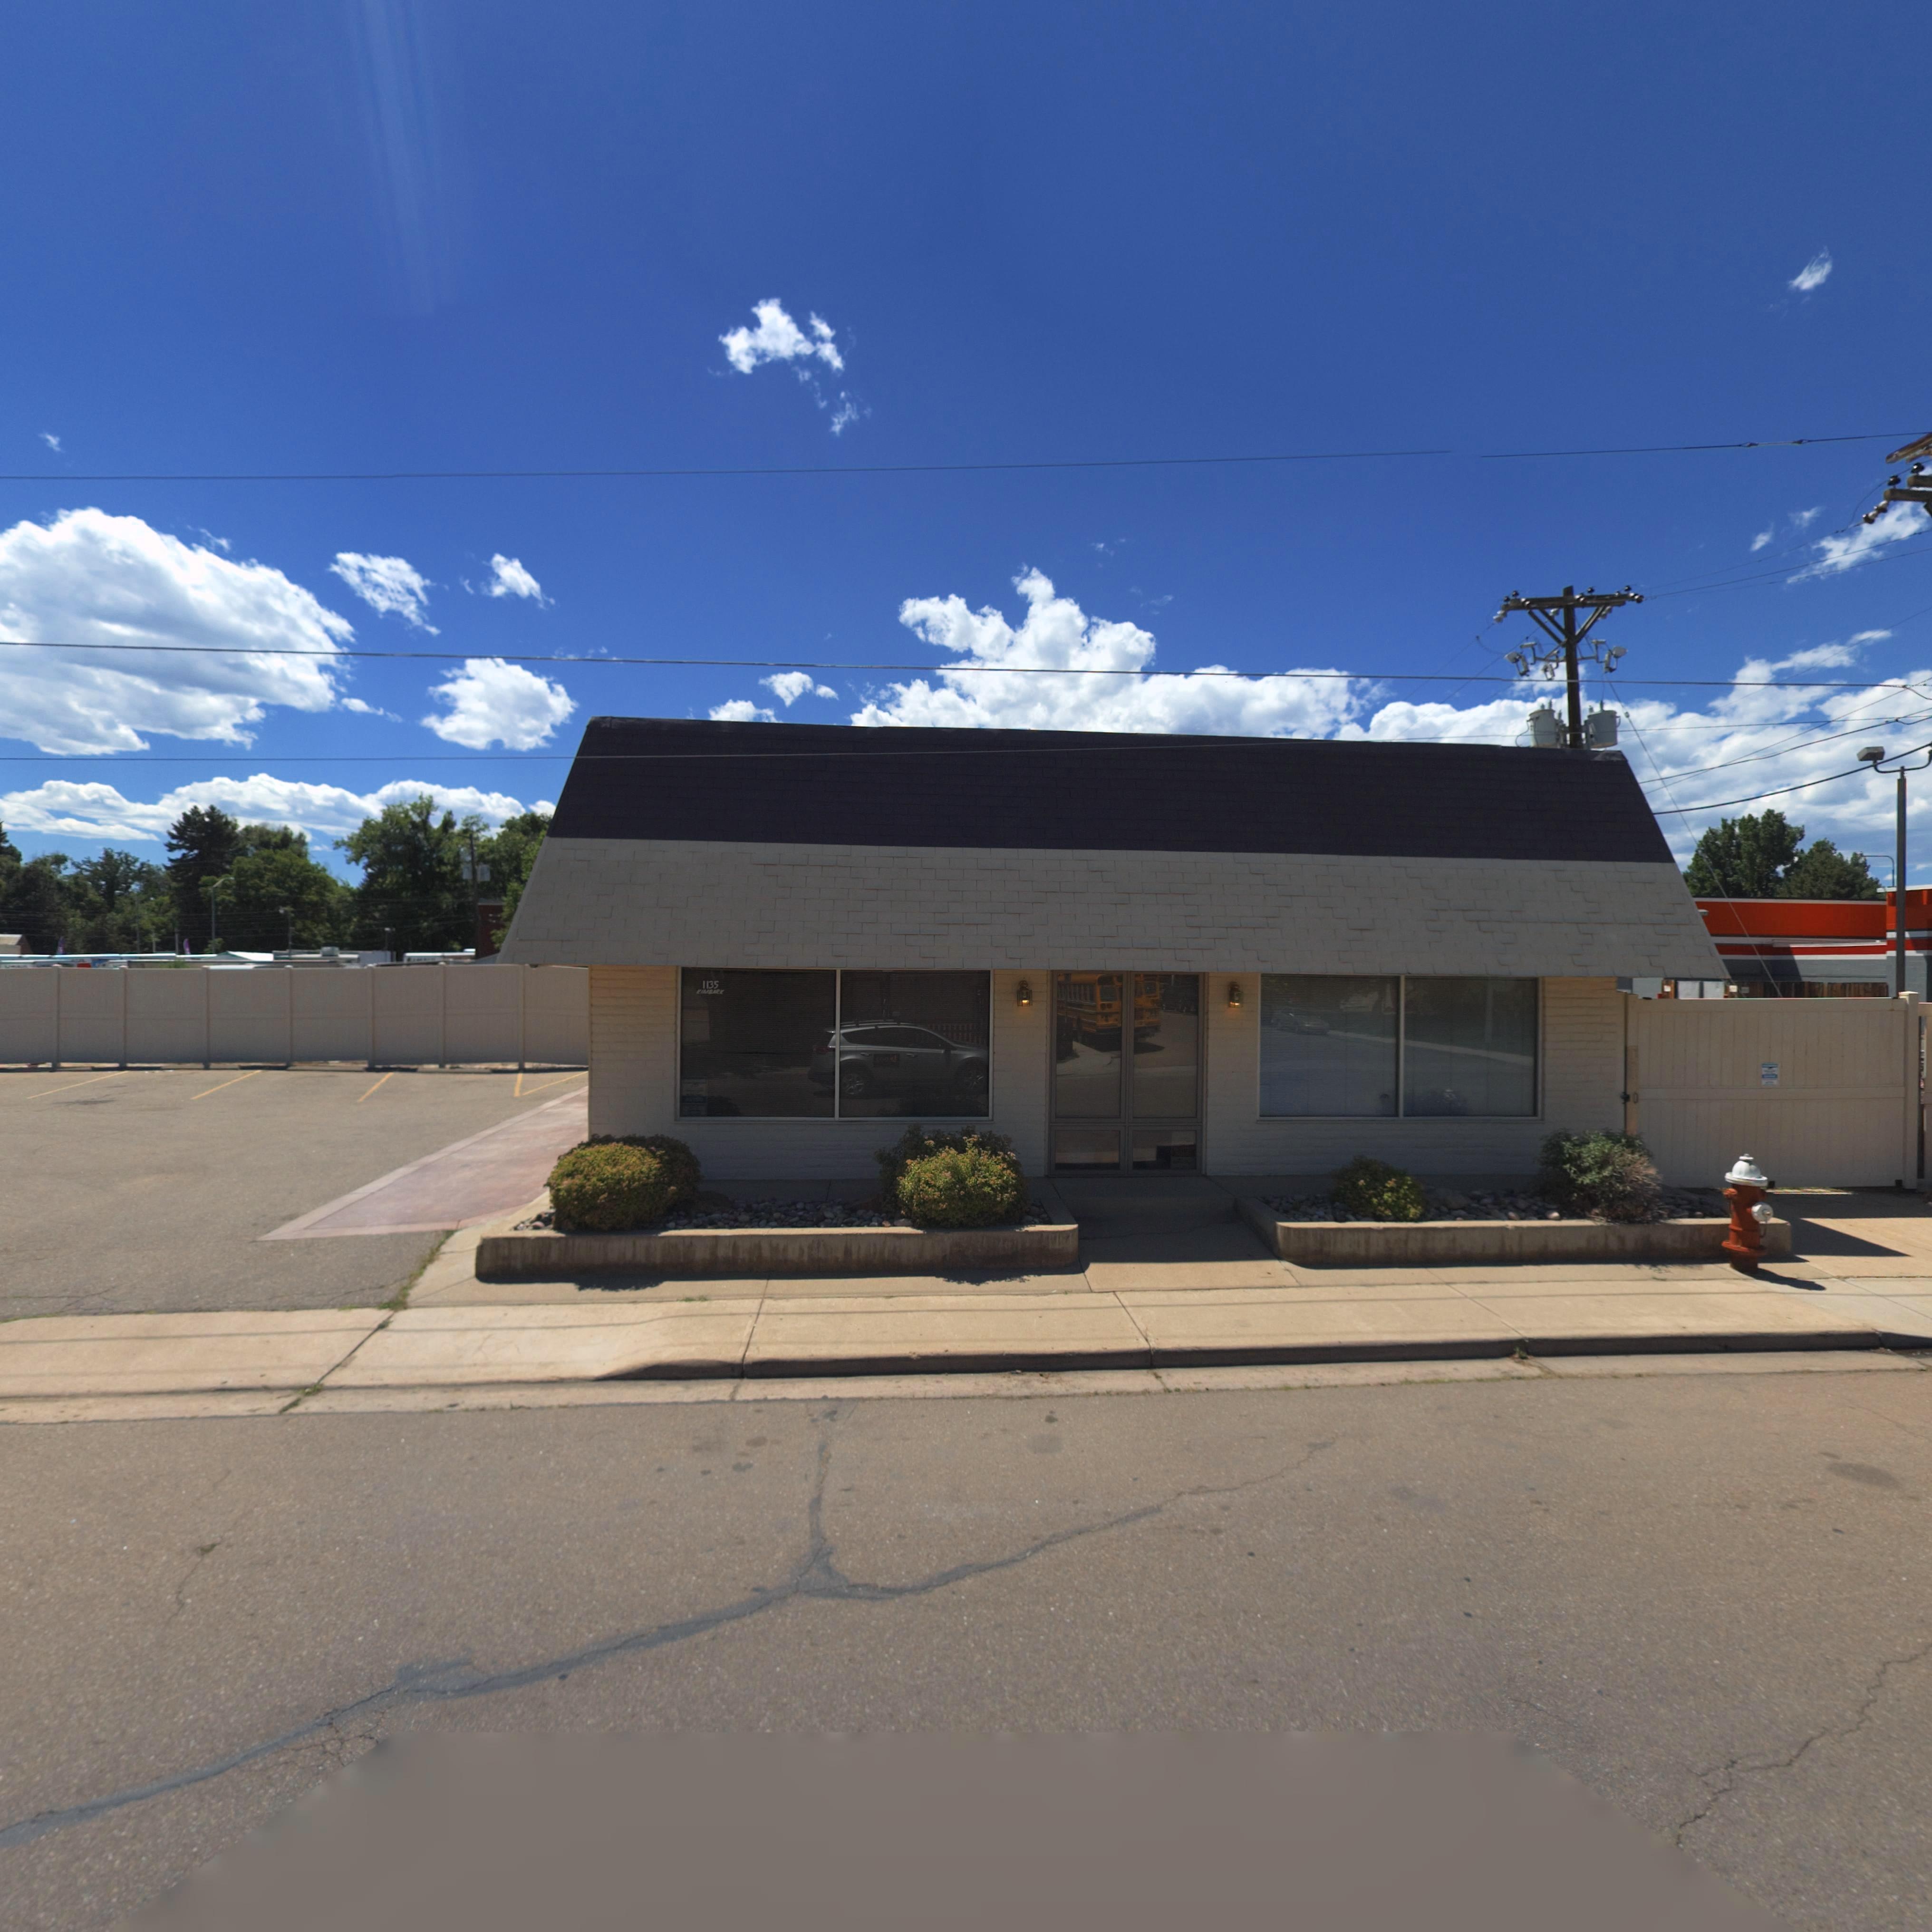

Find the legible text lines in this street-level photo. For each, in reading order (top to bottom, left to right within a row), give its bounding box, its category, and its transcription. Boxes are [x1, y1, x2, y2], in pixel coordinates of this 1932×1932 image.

[702, 980, 719, 989] StreetNumber: 1135
[695, 989, 725, 994] StreetName: KI**A*K